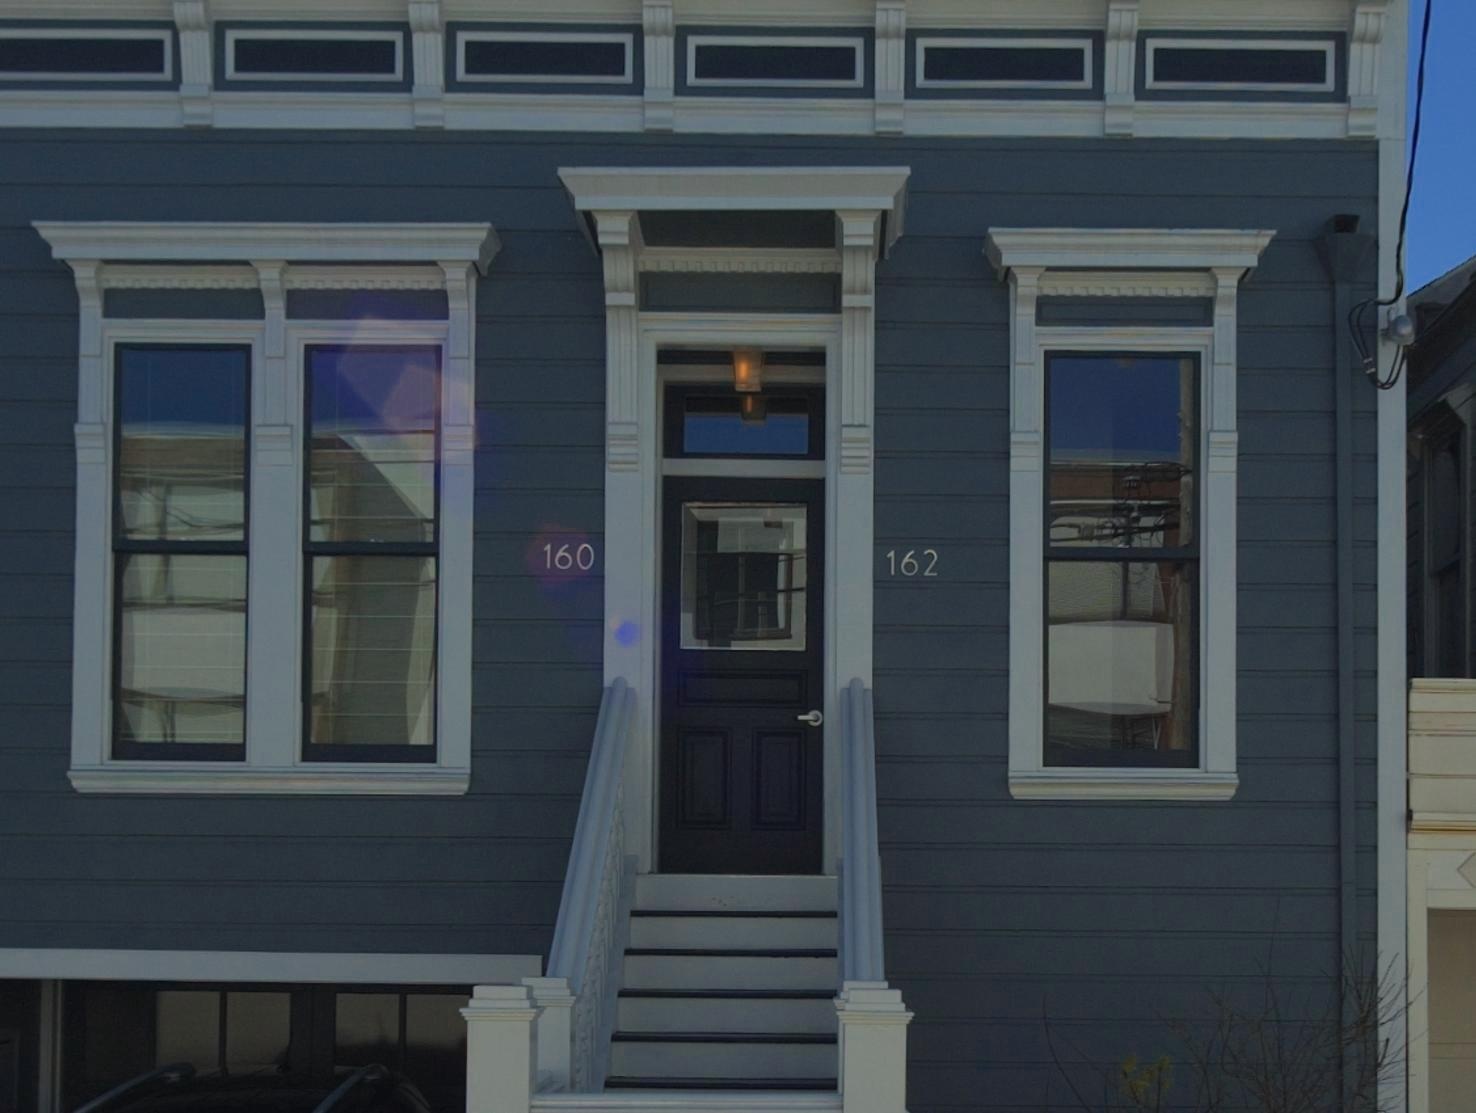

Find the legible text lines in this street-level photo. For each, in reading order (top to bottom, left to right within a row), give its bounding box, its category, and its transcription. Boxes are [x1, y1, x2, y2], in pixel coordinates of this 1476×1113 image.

[542, 541, 597, 571] StreetNumber: 160
[885, 548, 940, 578] StreetNumber: 162